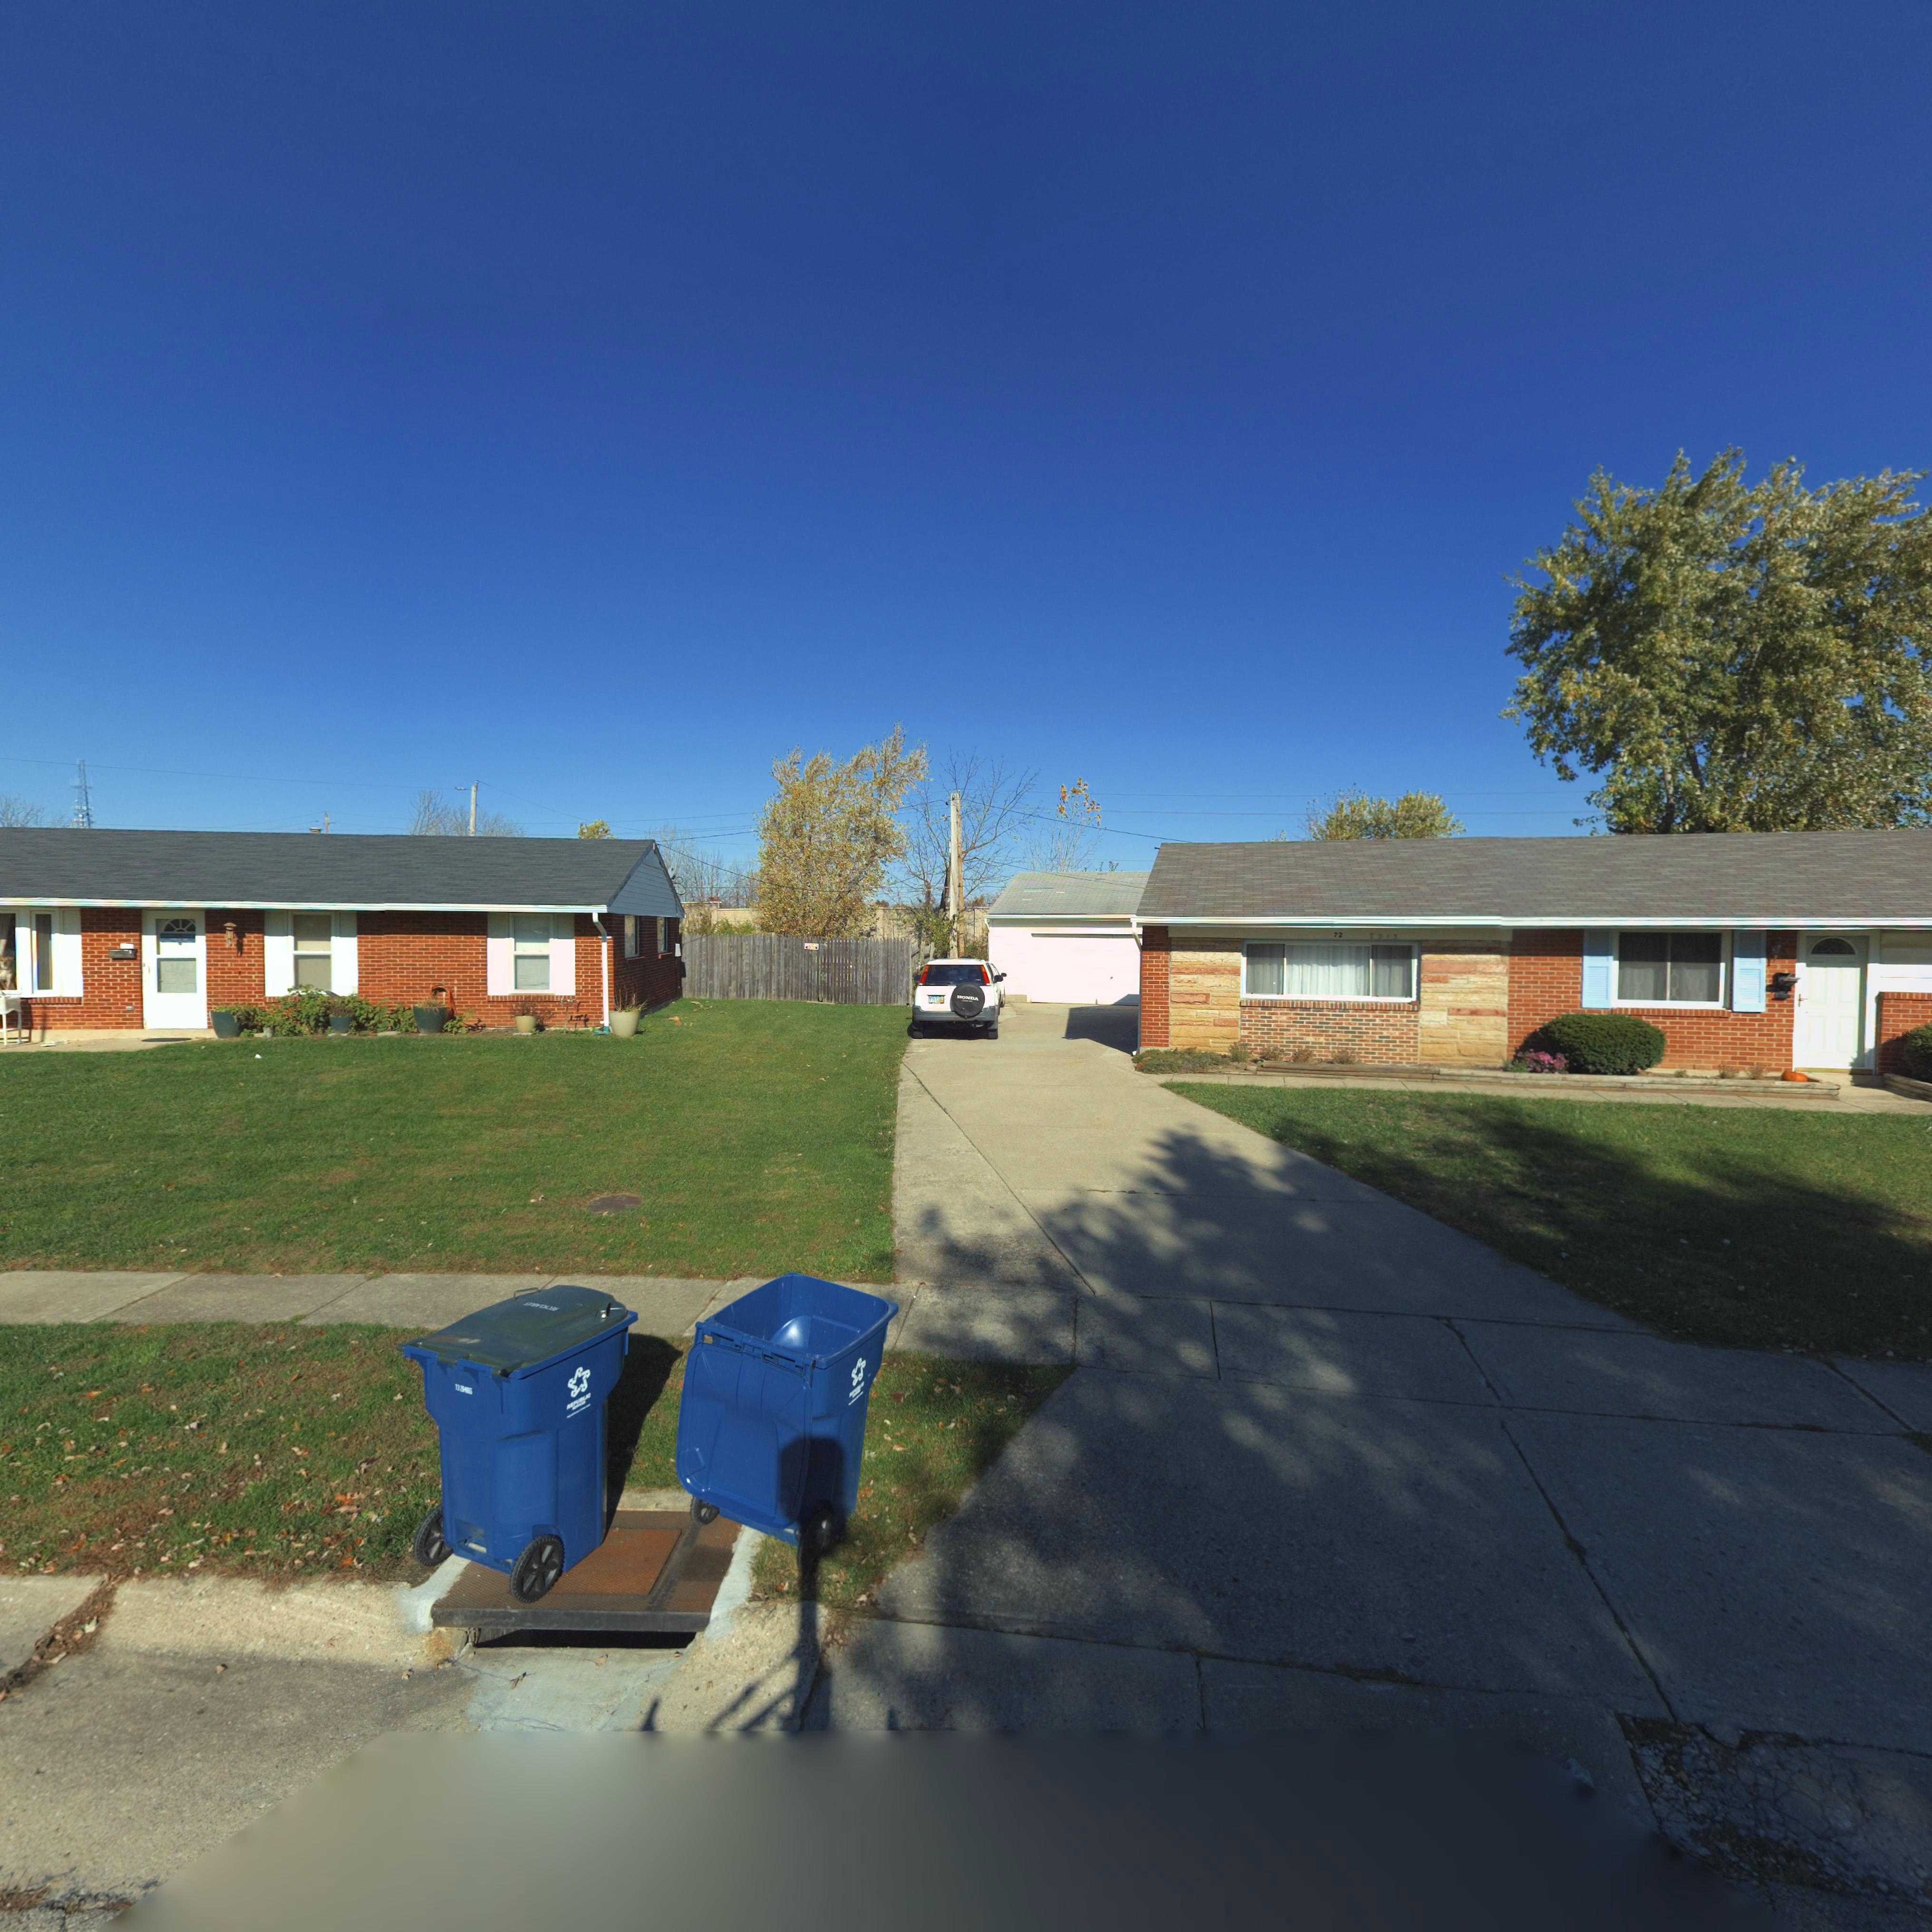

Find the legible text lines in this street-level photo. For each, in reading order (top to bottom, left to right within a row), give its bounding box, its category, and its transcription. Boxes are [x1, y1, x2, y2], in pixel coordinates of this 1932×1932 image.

[1333, 931, 1344, 938] StreetNumber: 72
[1368, 932, 1400, 941] StreetNumber: 721*